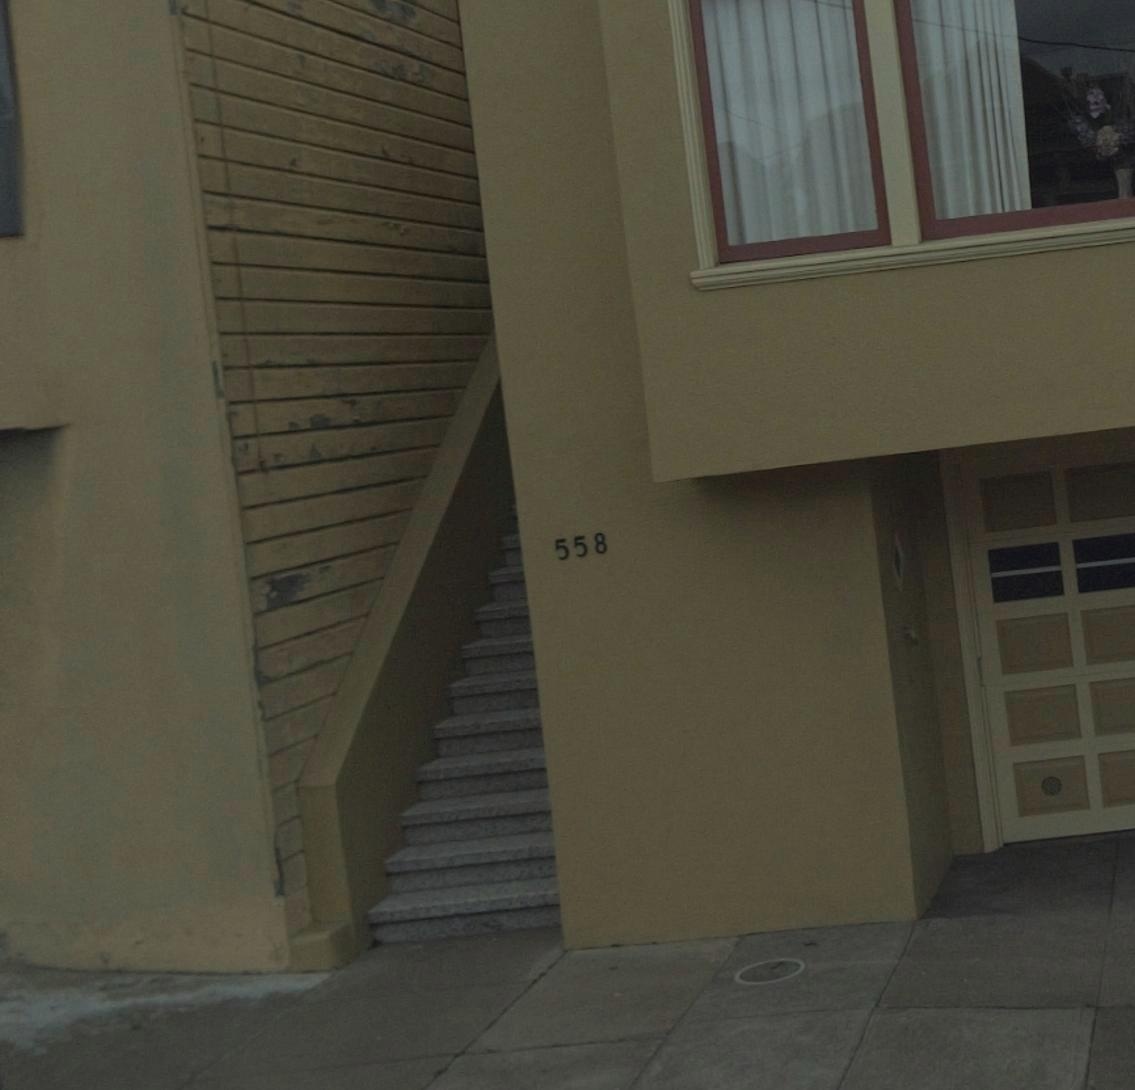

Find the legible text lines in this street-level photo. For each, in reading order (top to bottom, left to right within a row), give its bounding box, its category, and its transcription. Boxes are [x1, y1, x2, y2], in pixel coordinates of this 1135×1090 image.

[554, 531, 608, 562] StreetNumber: 558